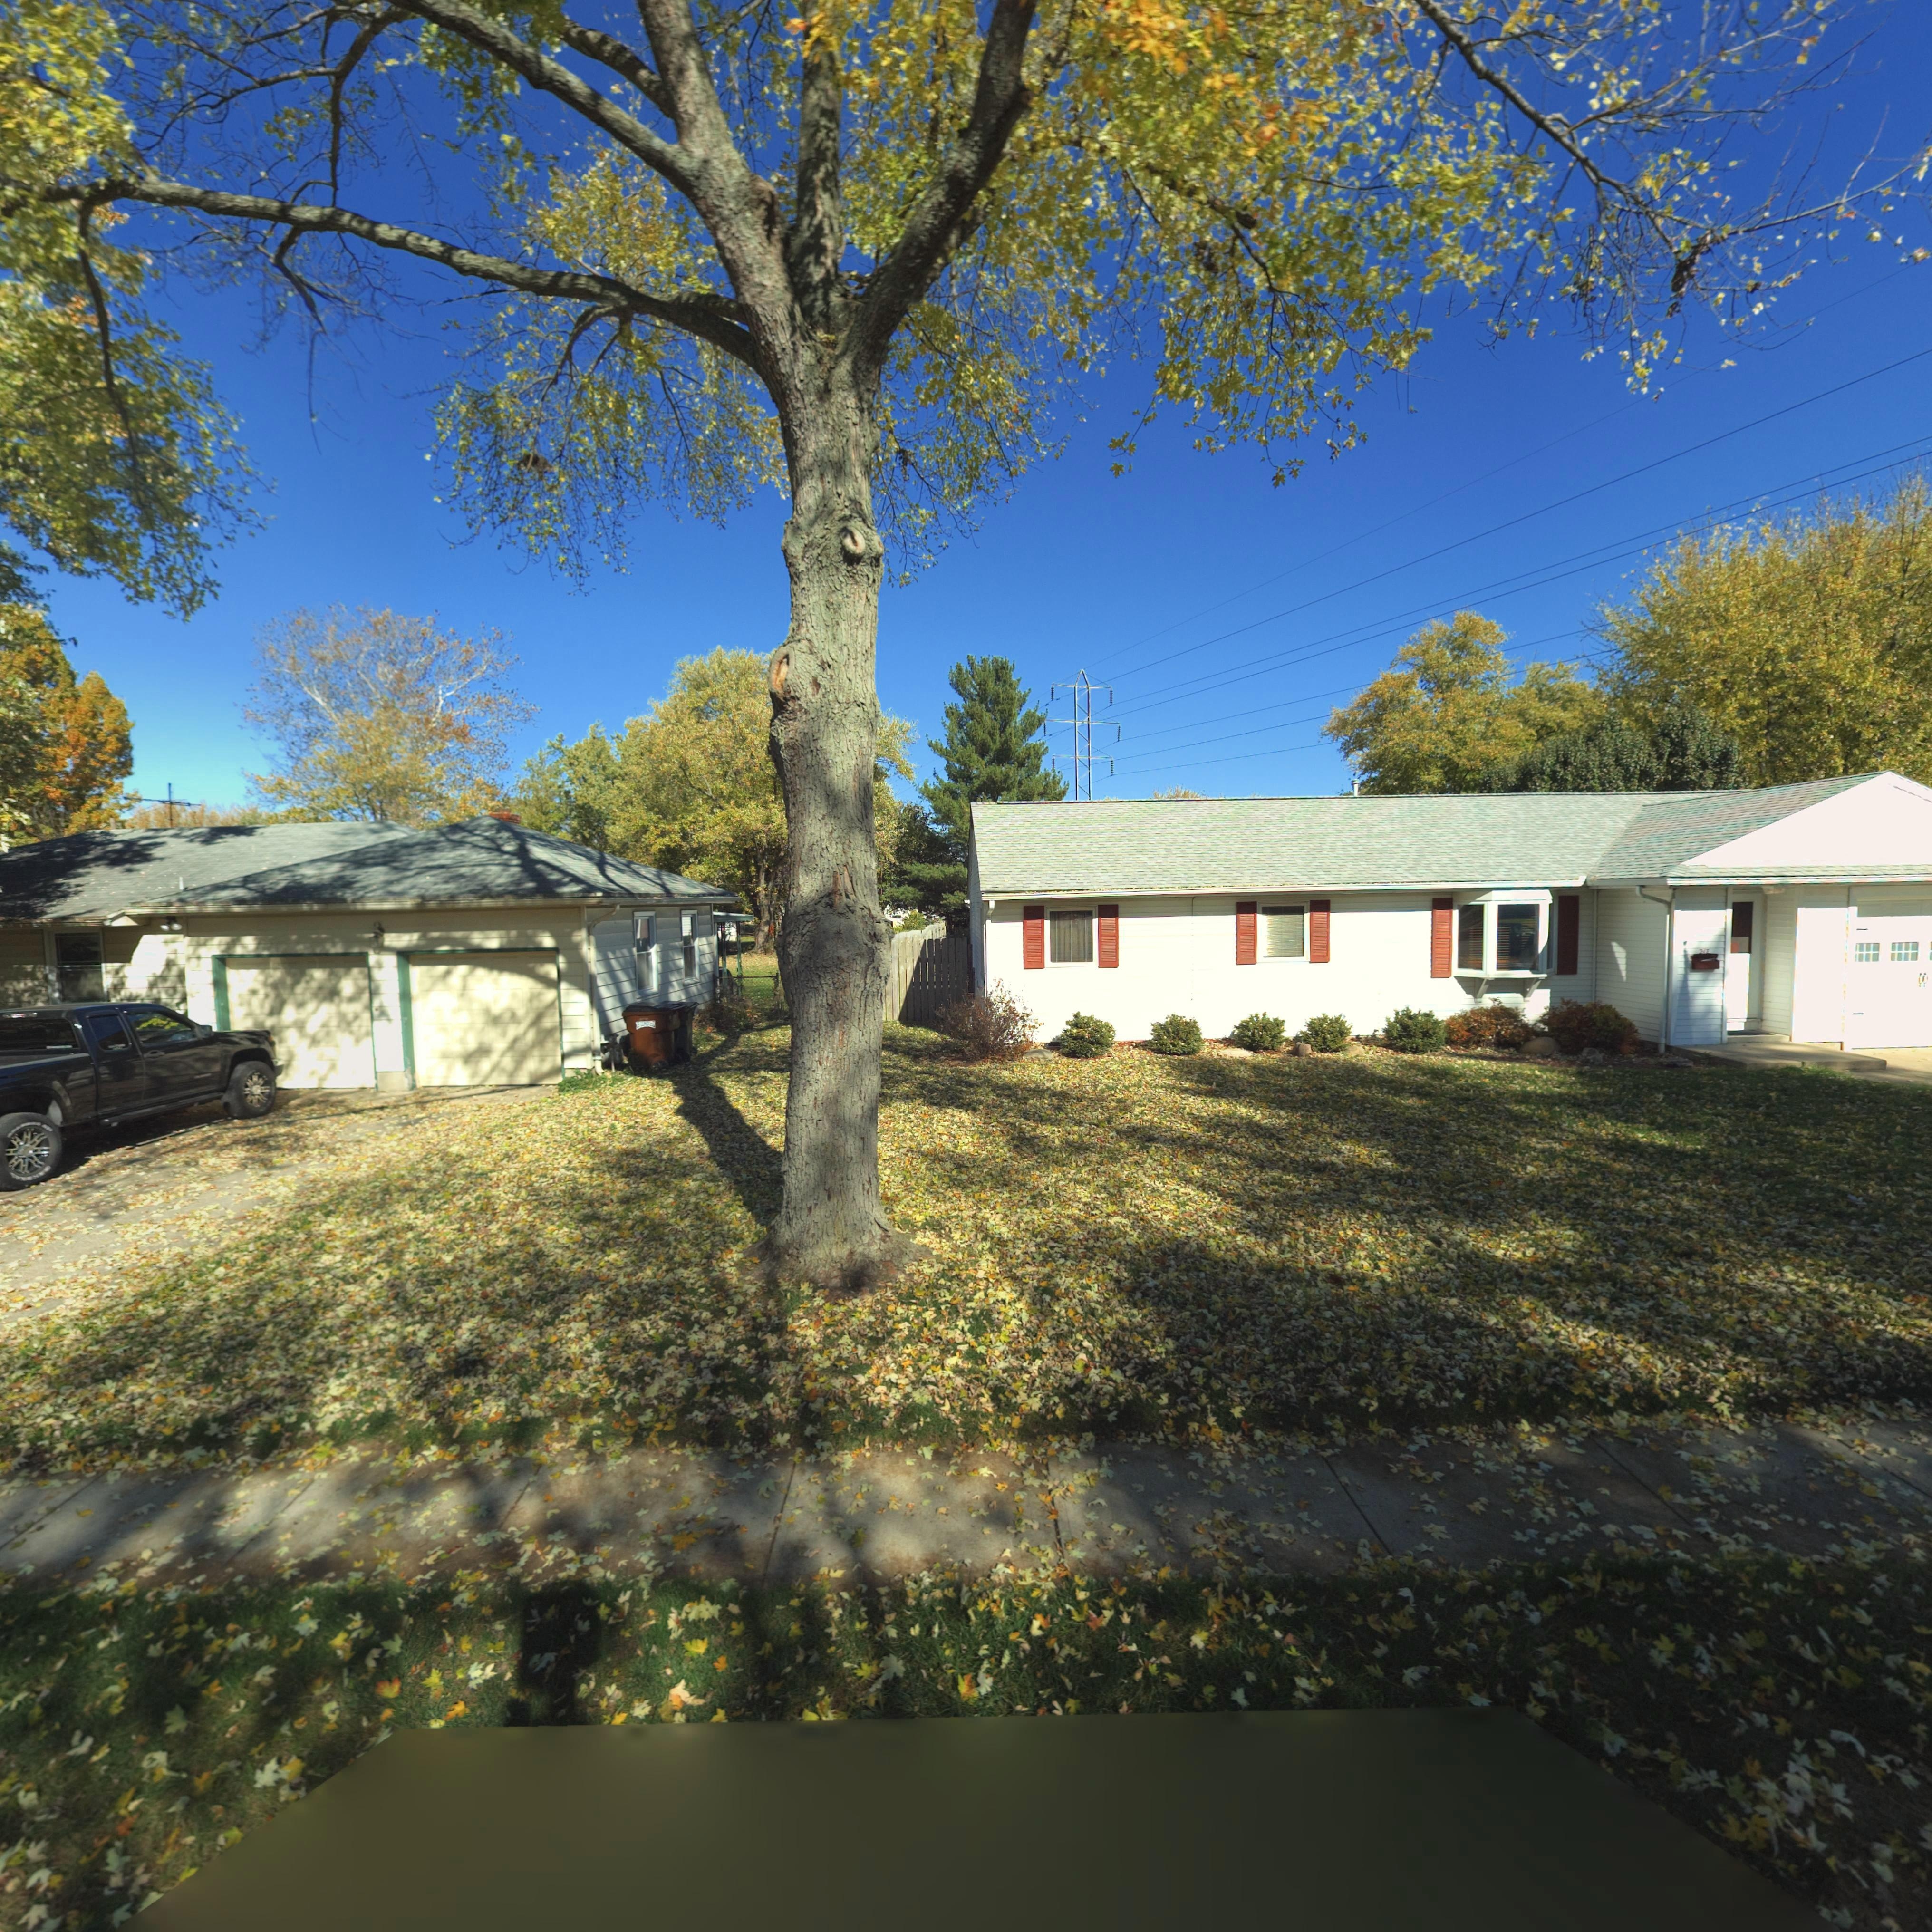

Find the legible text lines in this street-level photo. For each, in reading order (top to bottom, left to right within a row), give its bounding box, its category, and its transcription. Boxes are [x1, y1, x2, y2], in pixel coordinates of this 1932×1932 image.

[1698, 948, 1710, 955] StreetNumber: 217